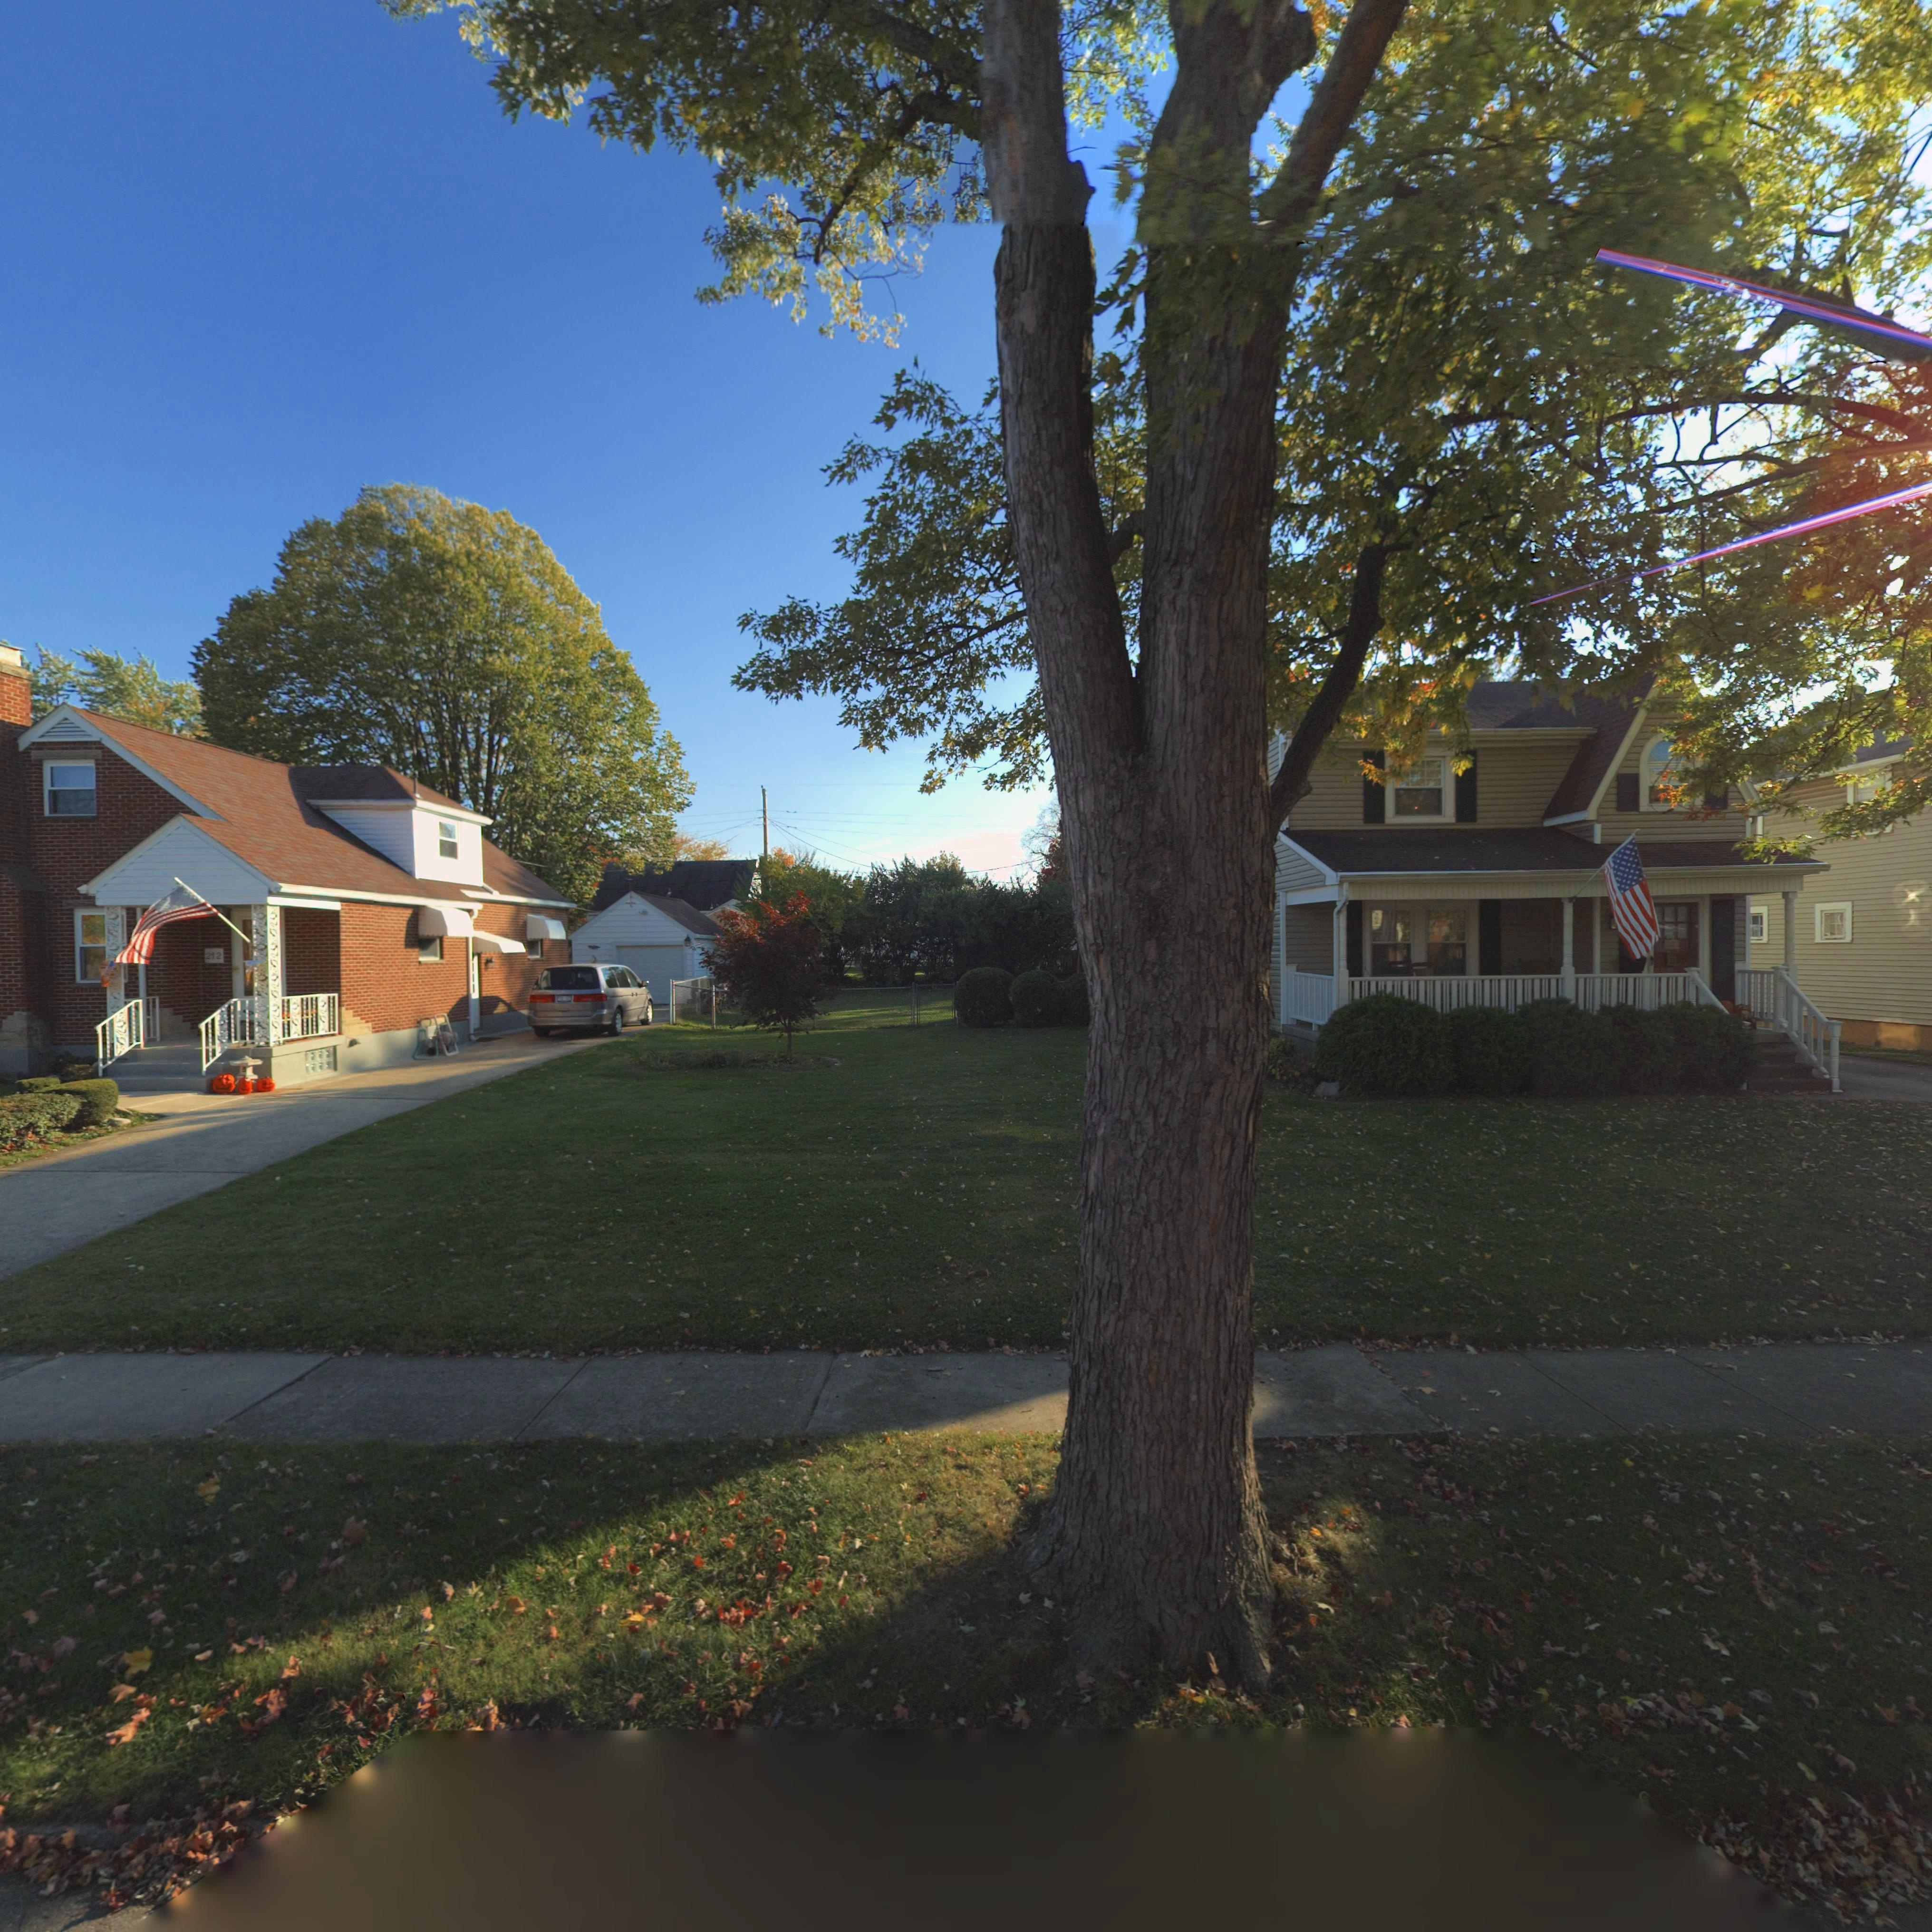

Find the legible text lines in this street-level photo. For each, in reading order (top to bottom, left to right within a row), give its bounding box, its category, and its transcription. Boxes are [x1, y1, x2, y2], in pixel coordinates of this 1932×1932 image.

[204, 951, 222, 960] StreetNumber: 212